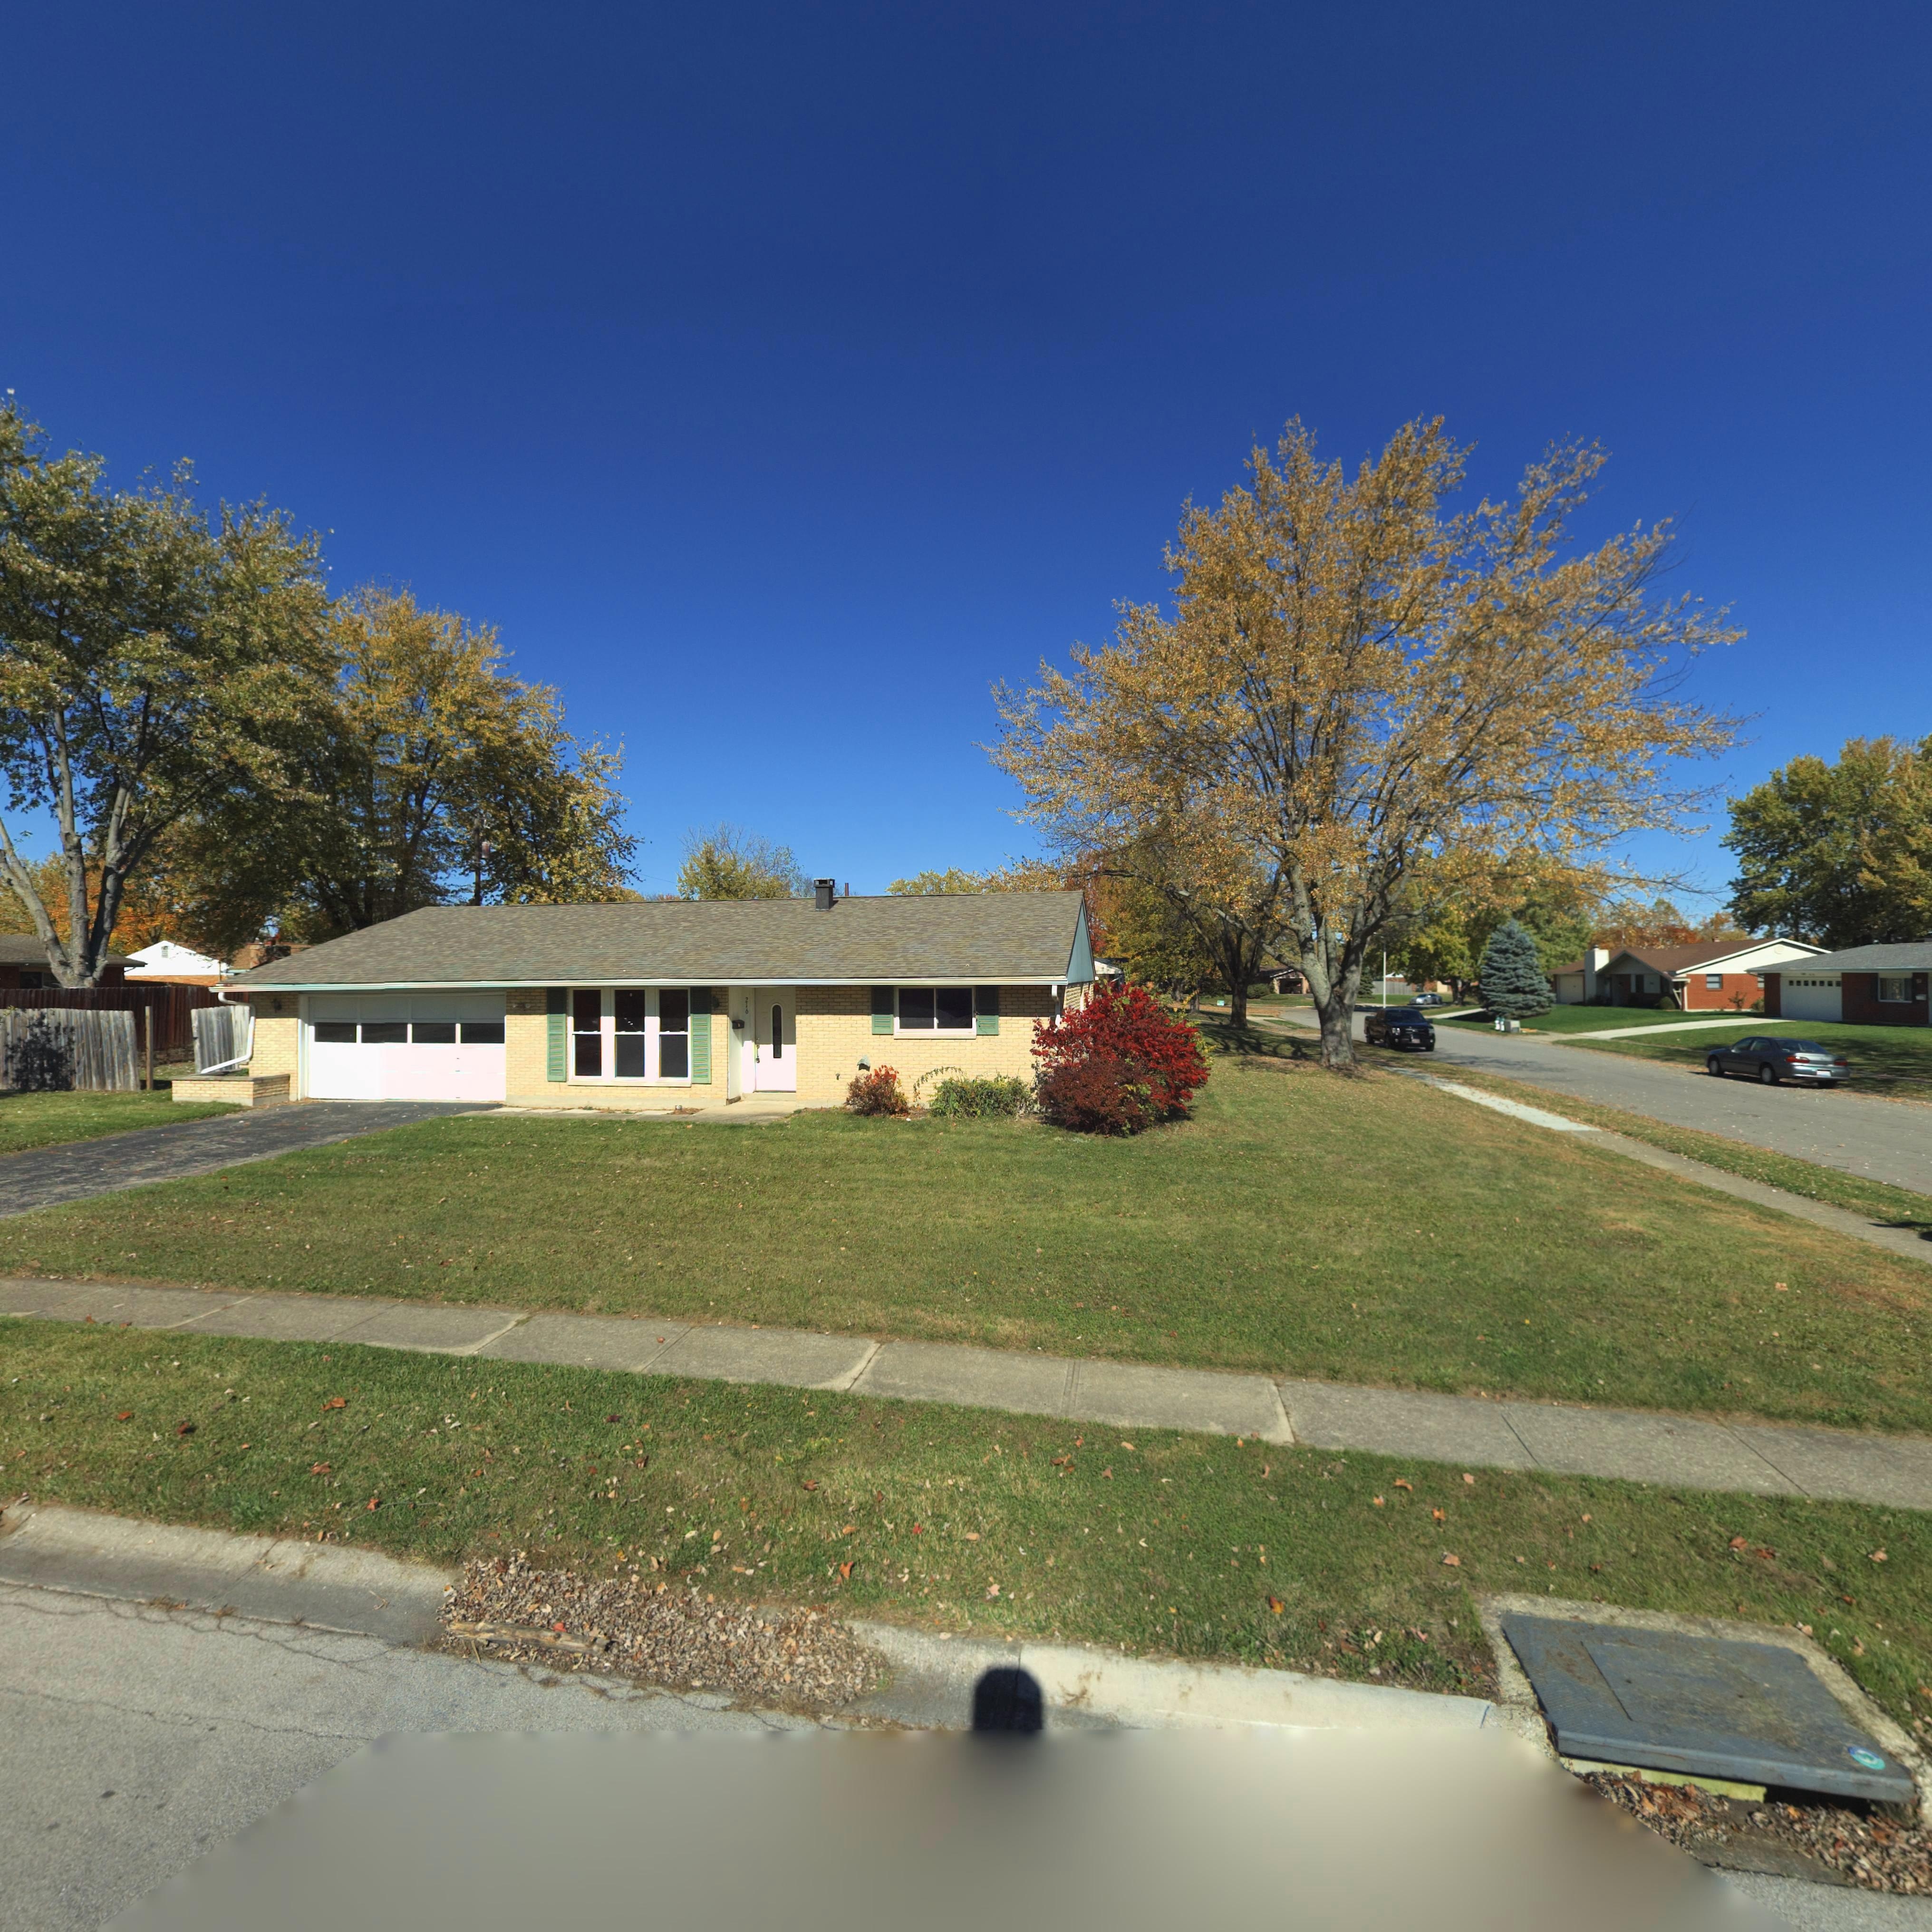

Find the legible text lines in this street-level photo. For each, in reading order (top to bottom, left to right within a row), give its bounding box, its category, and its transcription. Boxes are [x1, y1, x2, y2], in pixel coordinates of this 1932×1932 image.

[745, 996, 749, 1014] StreetNumber: 216